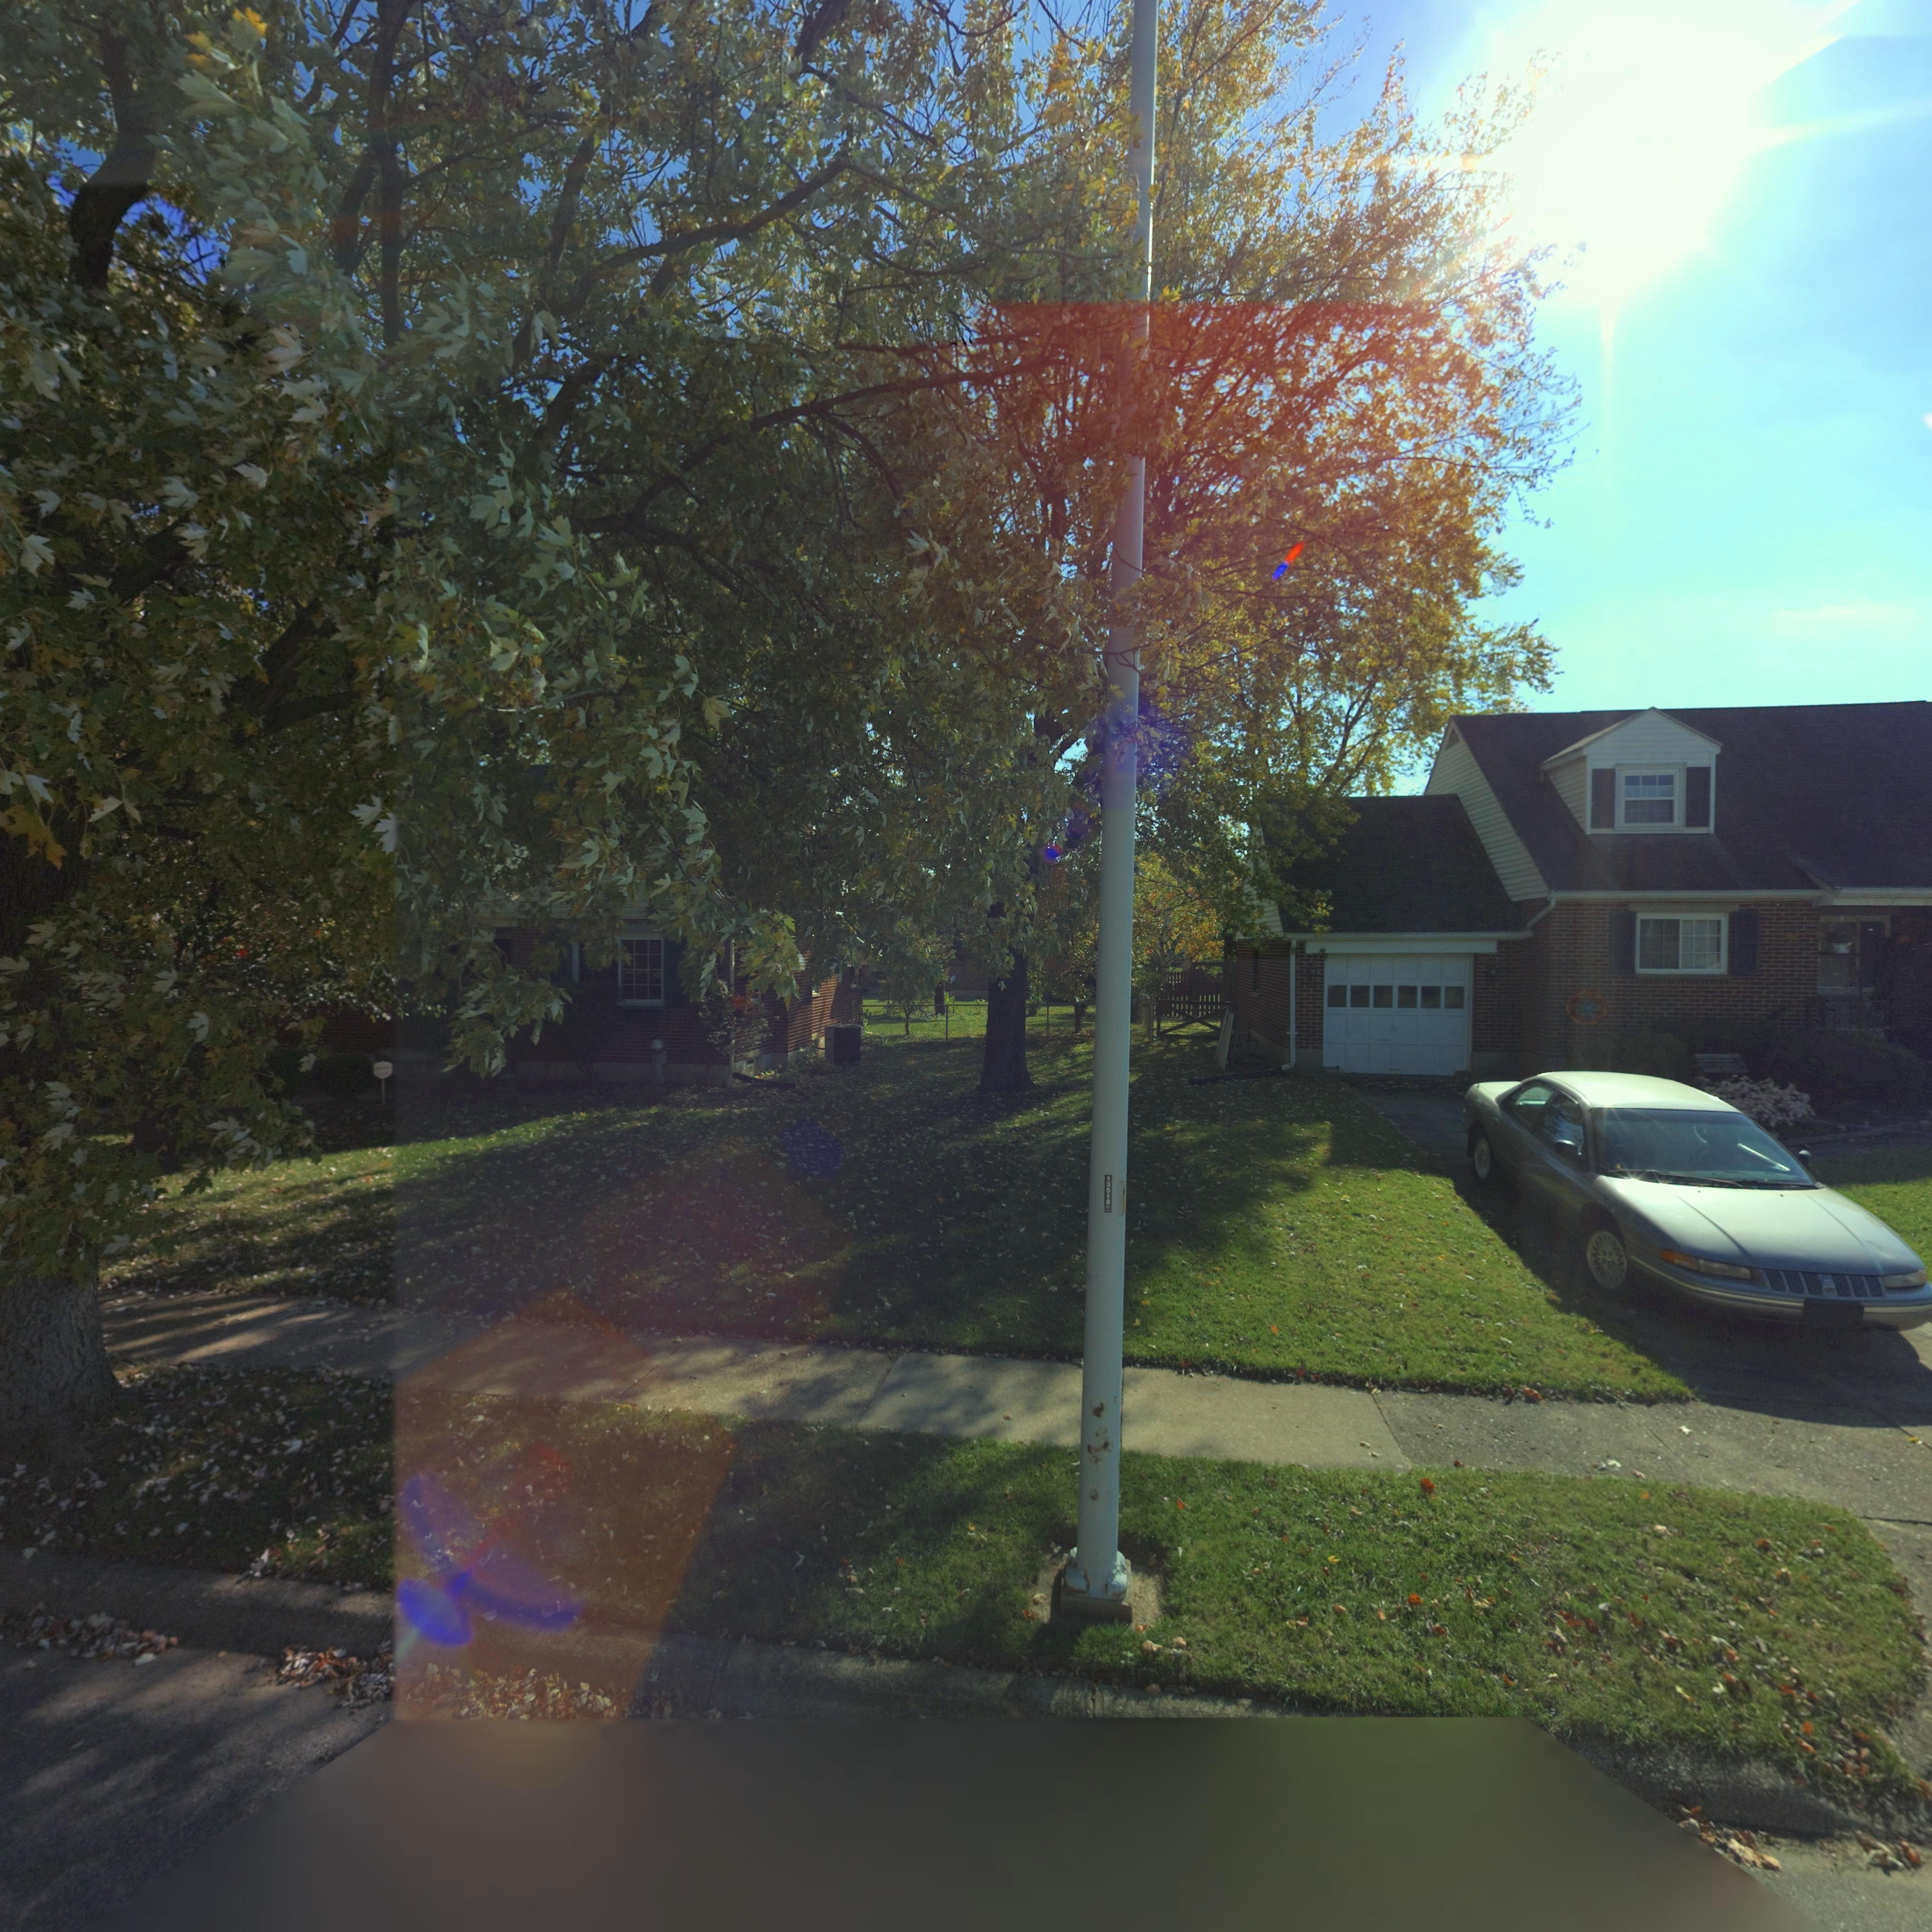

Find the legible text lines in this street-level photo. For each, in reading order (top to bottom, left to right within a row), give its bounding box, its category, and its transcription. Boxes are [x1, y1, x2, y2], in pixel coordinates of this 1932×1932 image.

[1105, 1176, 1111, 1205] None: 13518